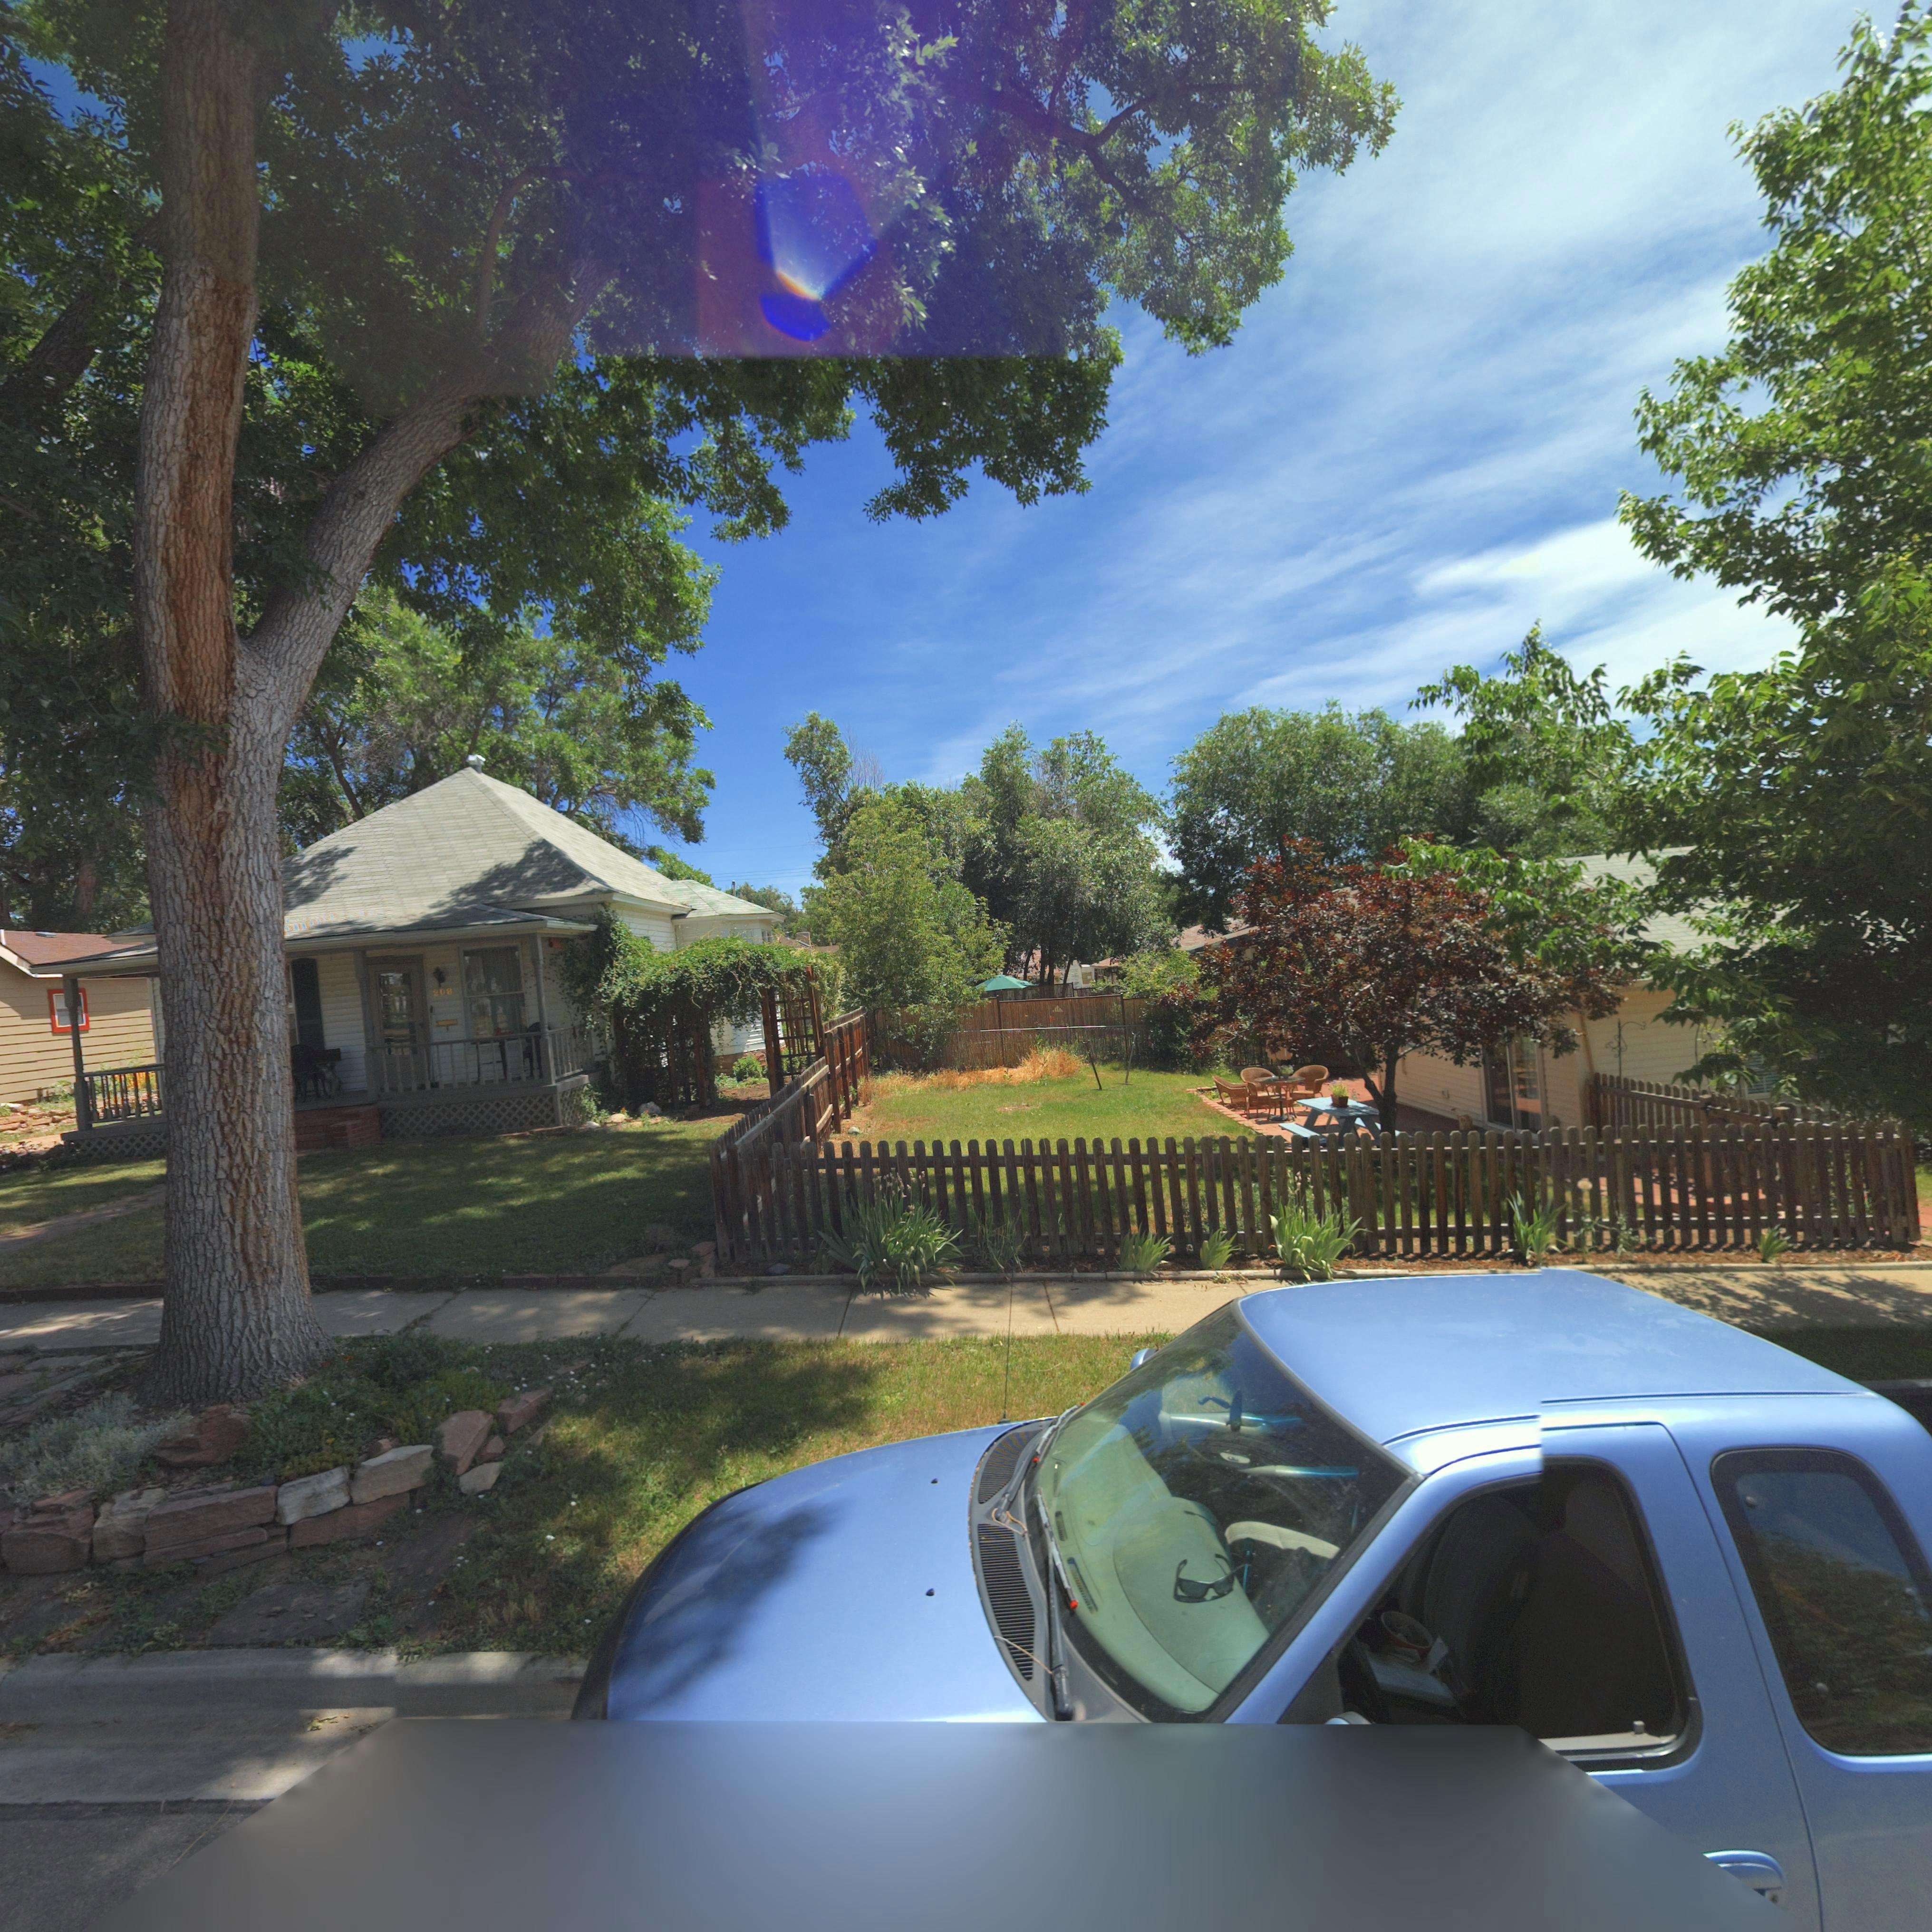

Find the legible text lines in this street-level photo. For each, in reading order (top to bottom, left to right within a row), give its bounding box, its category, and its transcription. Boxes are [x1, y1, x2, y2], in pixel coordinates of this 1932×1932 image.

[433, 987, 453, 996] StreetNumber: 208